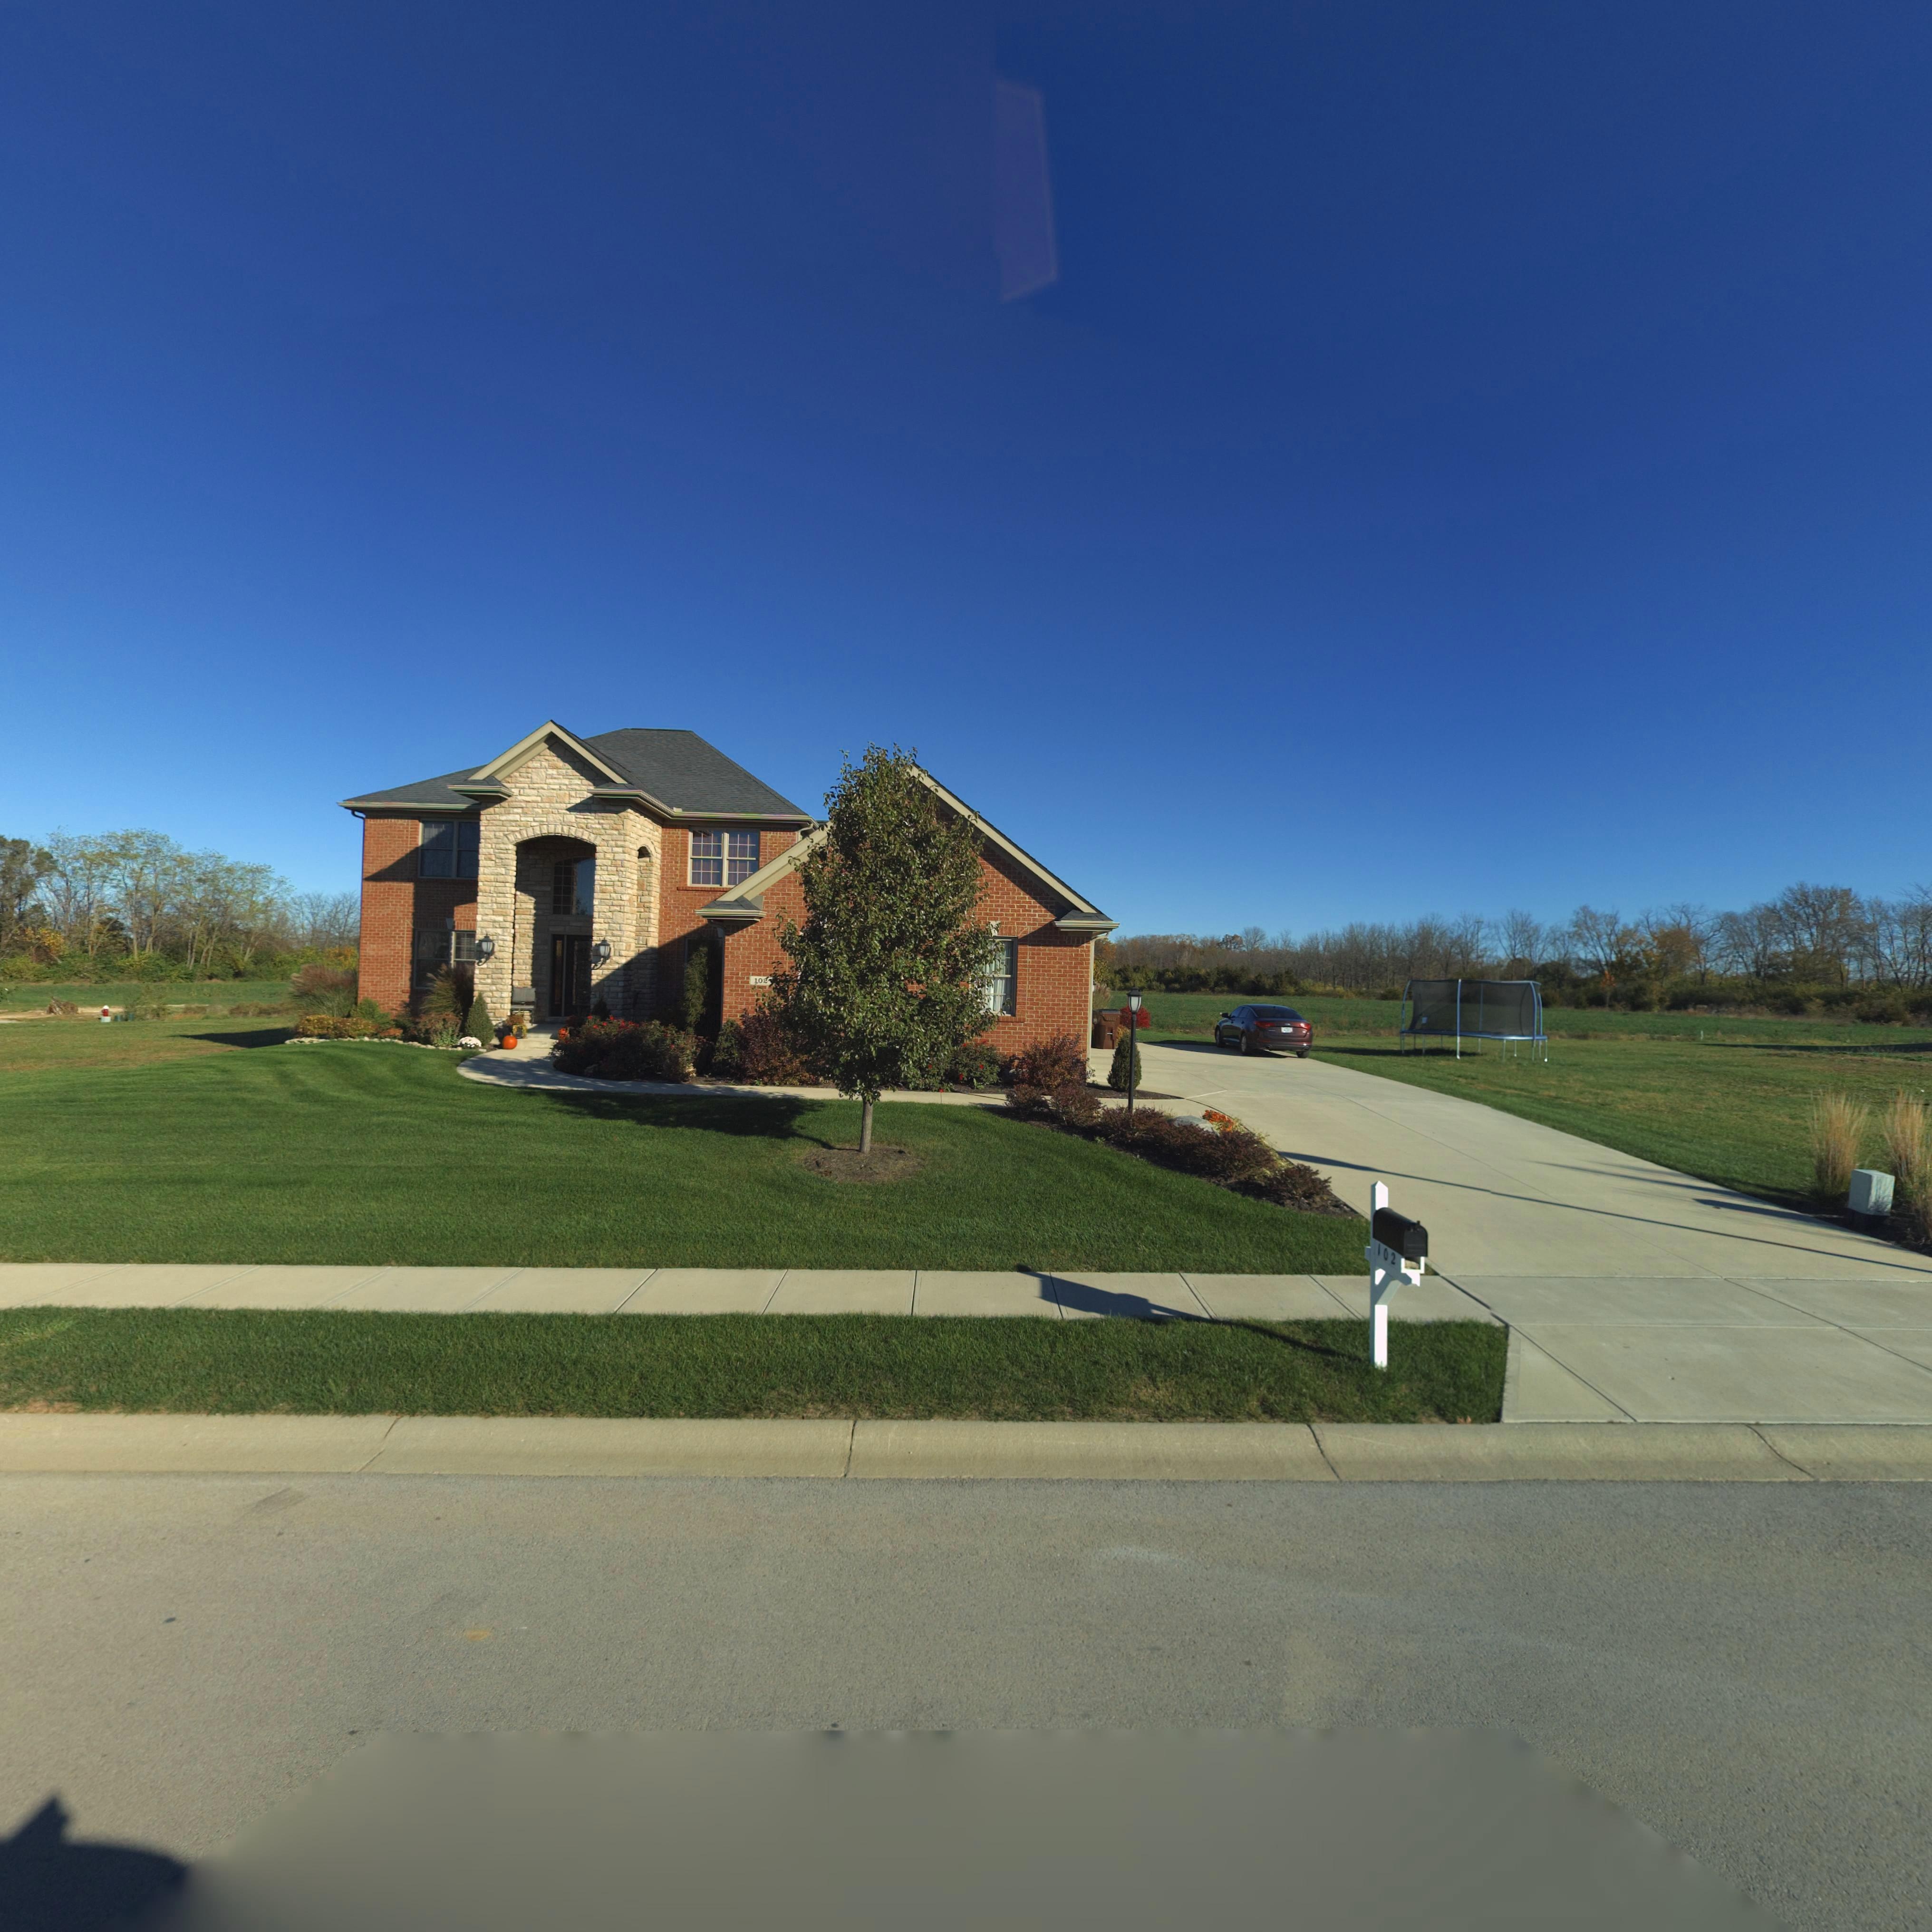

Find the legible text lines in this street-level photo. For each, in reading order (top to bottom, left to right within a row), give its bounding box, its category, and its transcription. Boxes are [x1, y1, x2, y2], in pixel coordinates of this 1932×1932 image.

[754, 977, 768, 984] StreetNumber: 102
[1377, 1242, 1397, 1266] StreetNumber: 102